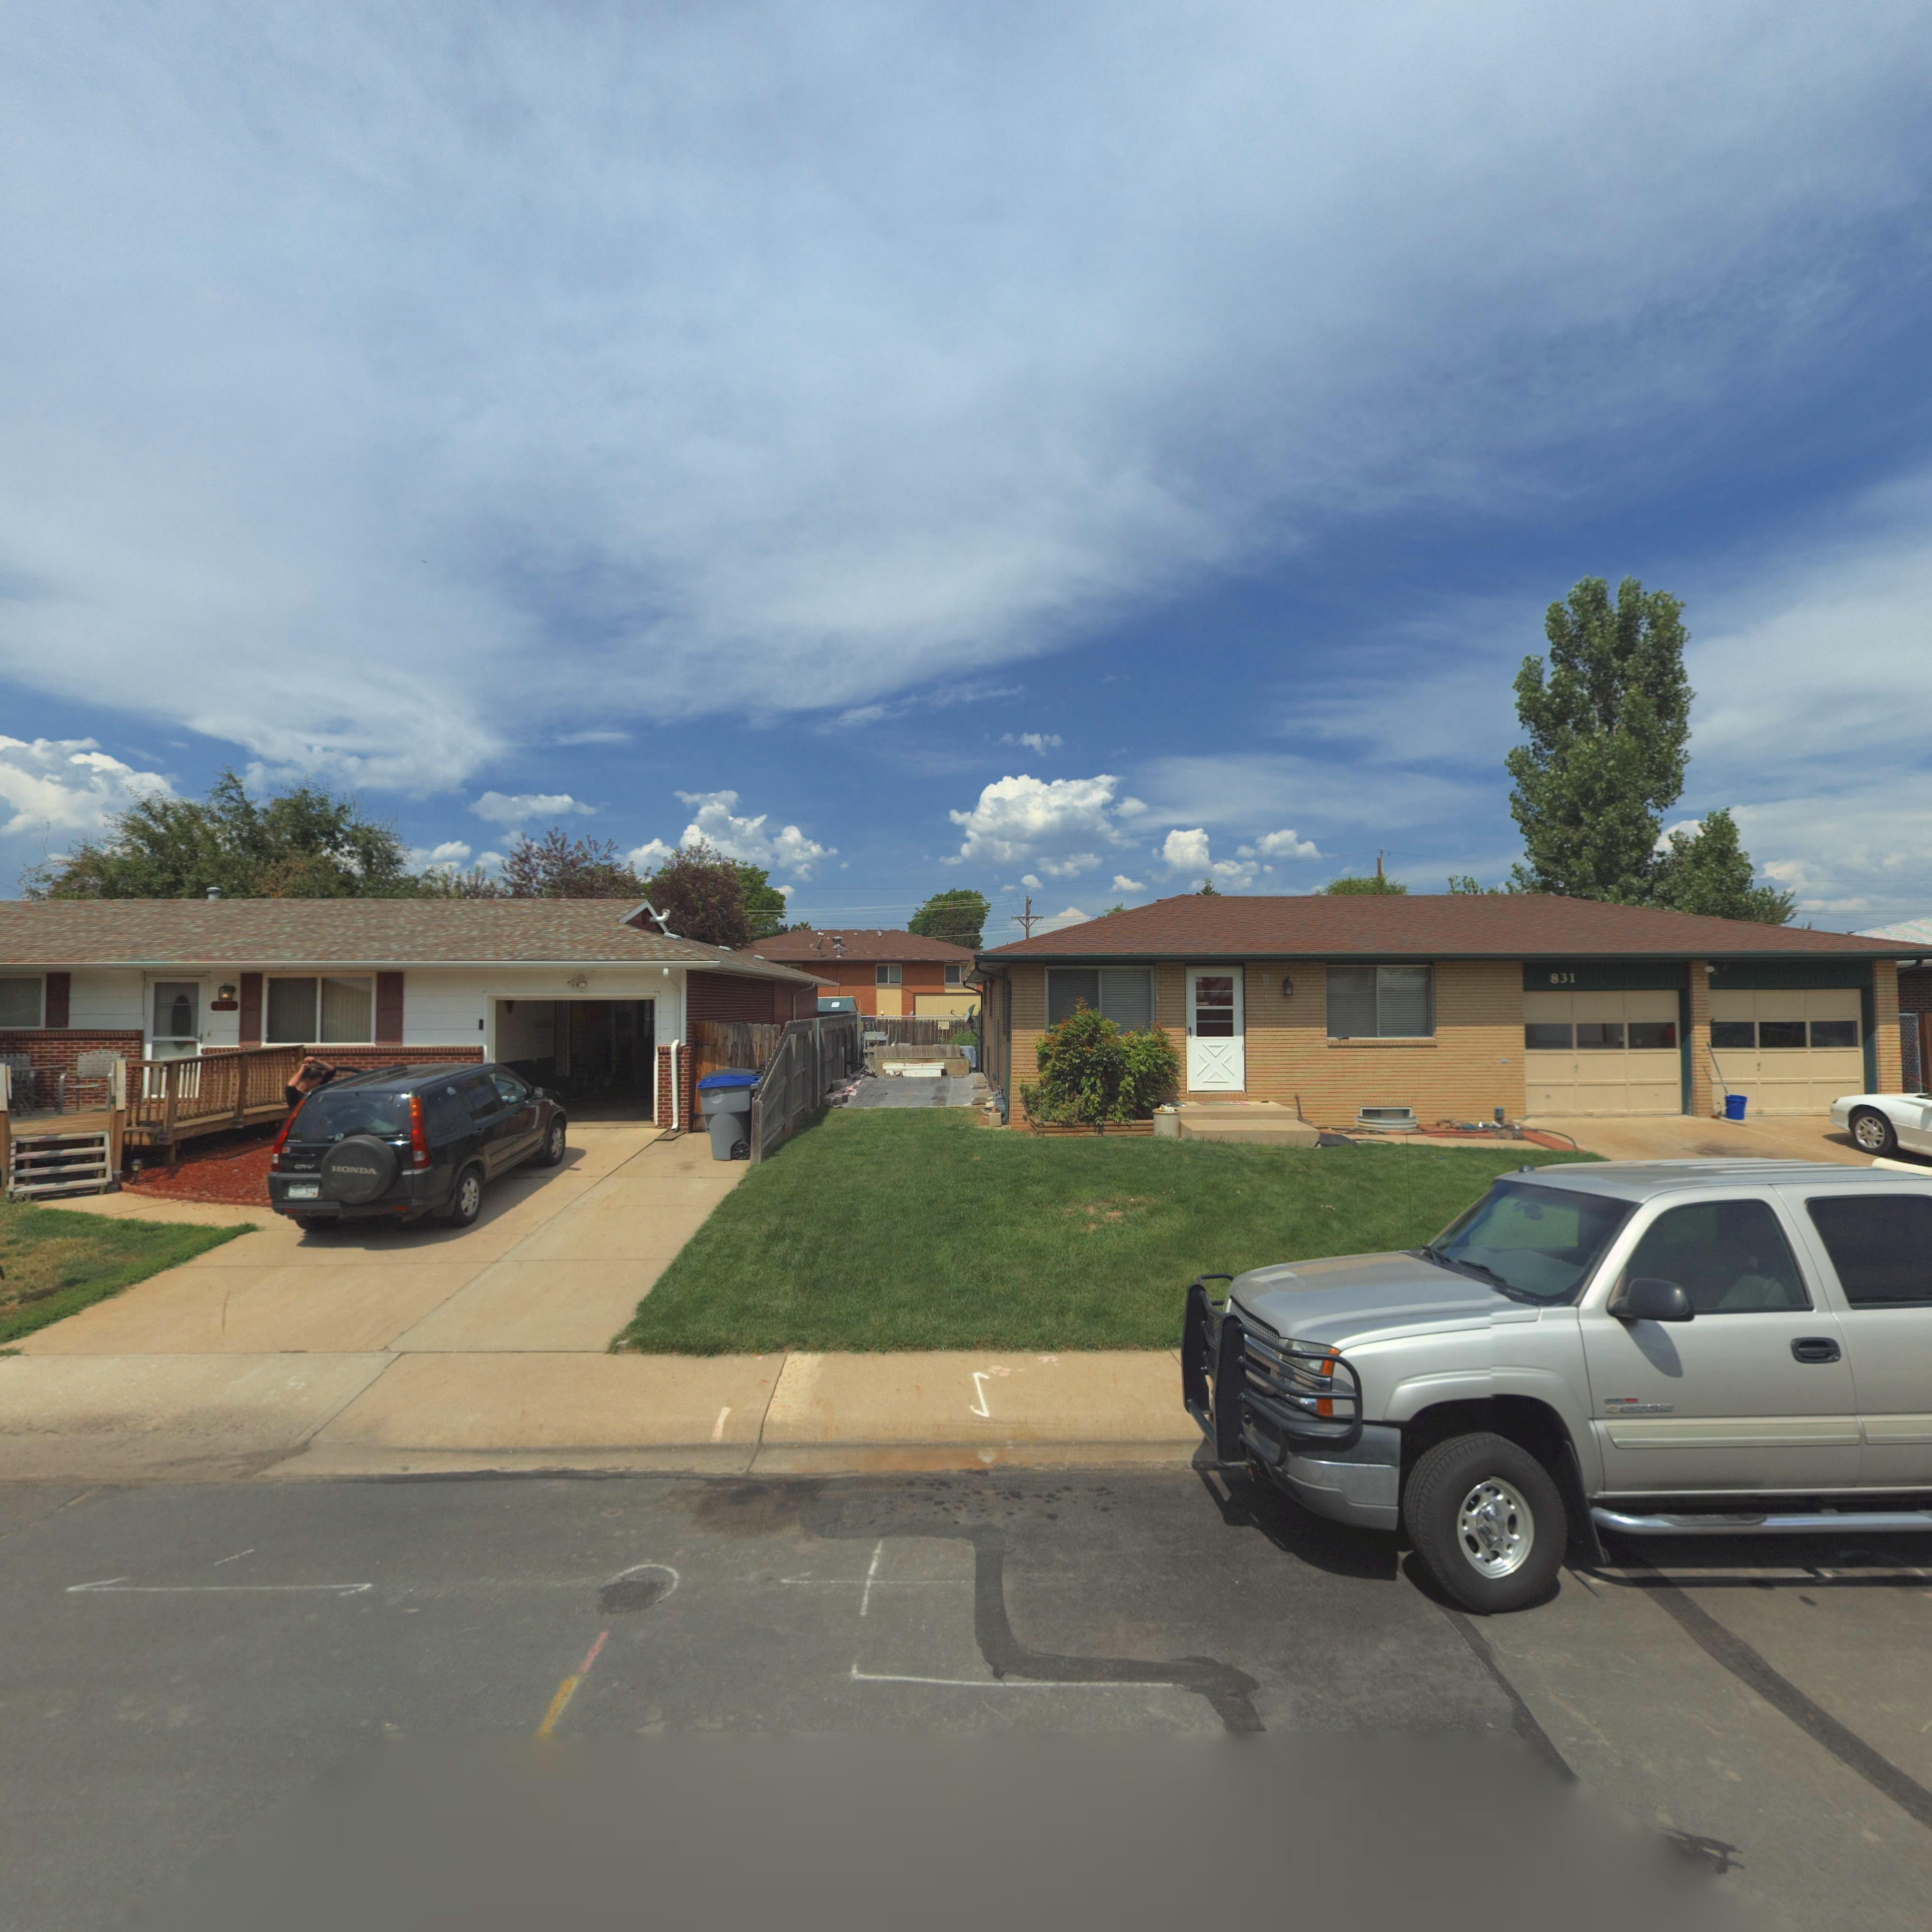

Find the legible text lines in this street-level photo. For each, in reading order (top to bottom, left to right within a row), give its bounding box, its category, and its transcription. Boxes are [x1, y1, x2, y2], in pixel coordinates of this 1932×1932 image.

[1550, 973, 1576, 984] StreetNumber: 831
[215, 1002, 232, 1010] StreetNumber: 8**